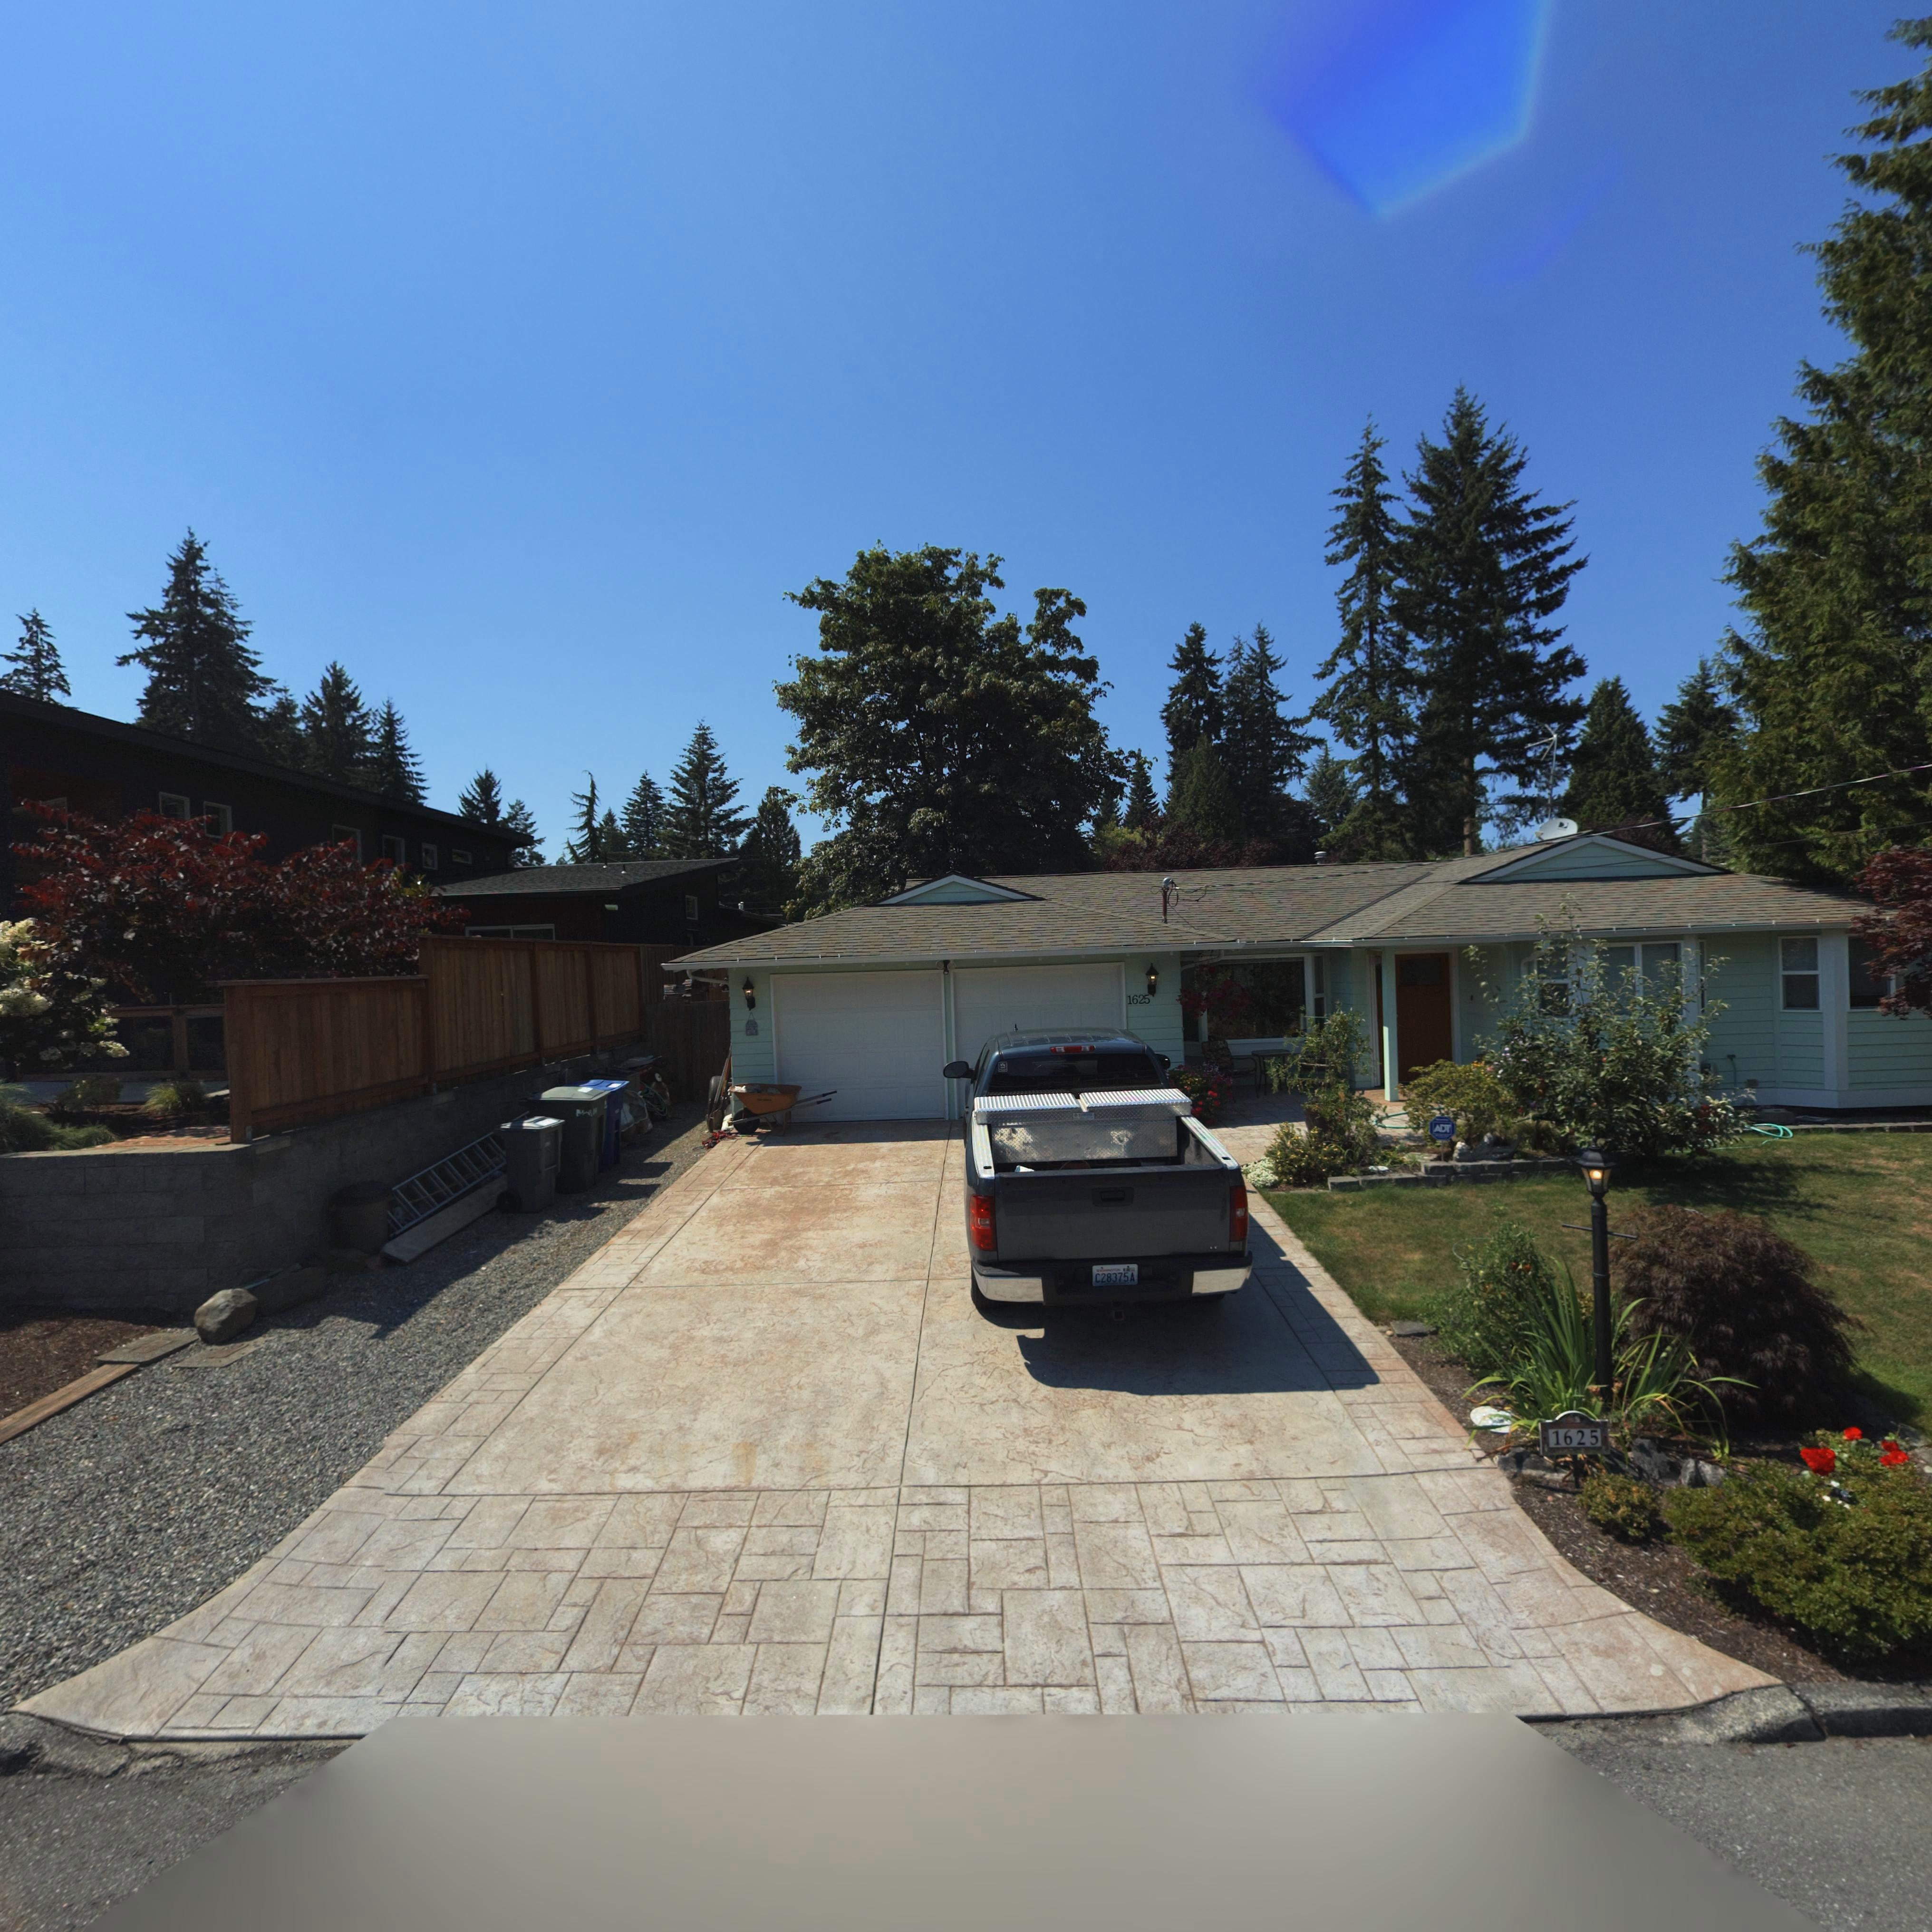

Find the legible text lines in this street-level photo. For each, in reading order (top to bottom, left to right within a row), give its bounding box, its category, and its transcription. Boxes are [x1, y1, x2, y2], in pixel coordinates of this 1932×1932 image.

[1128, 995, 1150, 1004] StreetNumber: 1625
[1550, 1429, 1599, 1447] StreetNumber: 1625